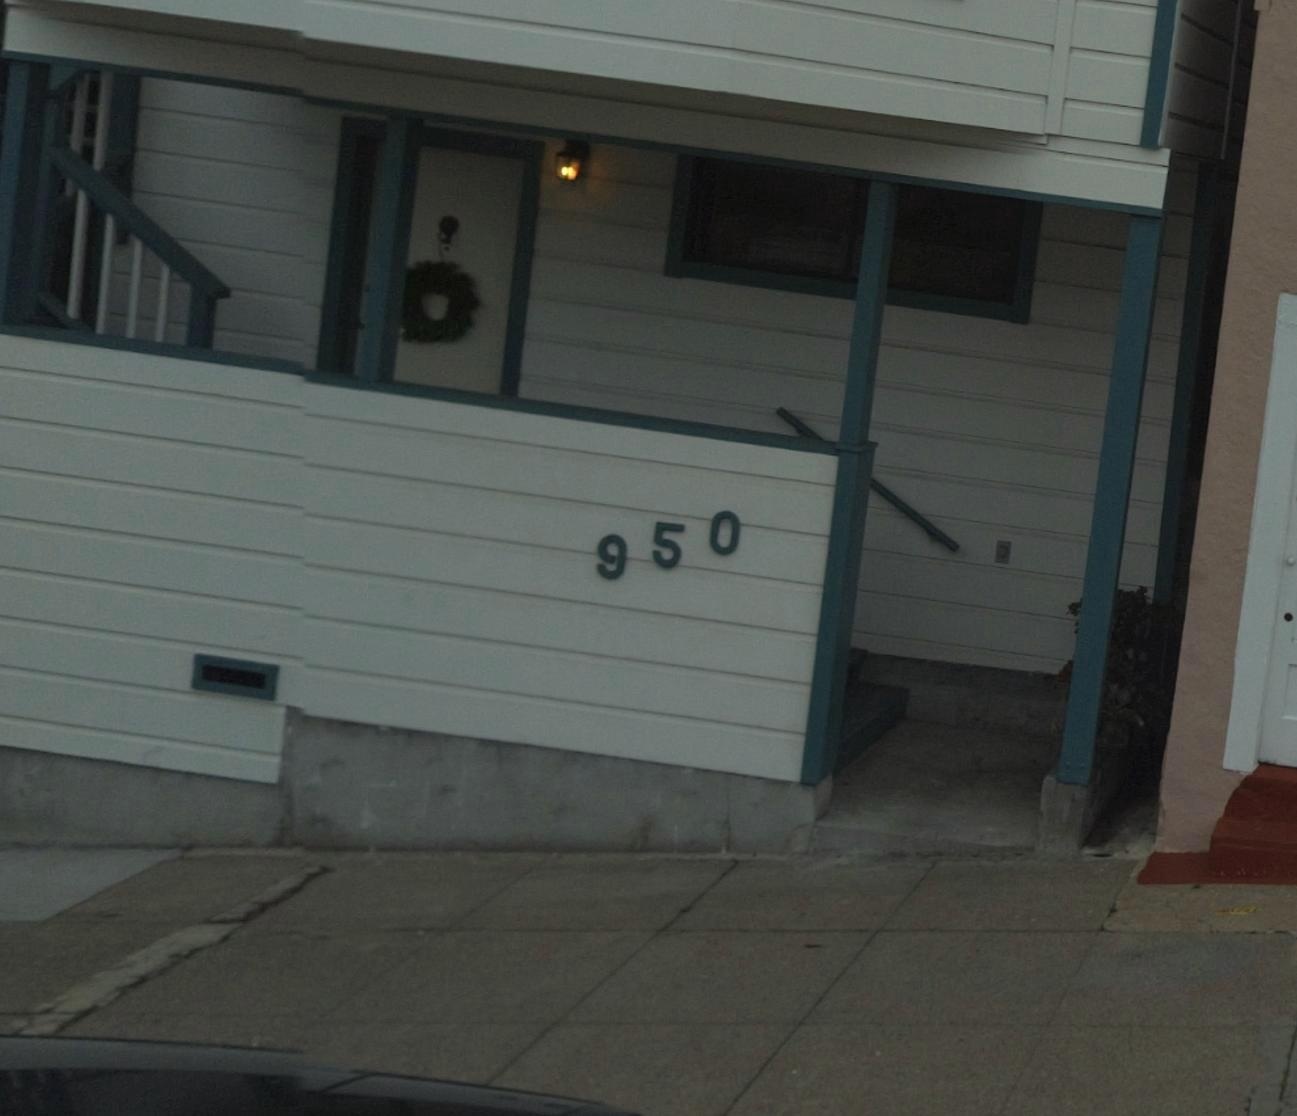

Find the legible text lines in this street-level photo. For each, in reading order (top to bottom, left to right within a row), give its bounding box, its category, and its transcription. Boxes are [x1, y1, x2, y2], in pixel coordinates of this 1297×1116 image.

[594, 507, 742, 583] StreetNumber: 950